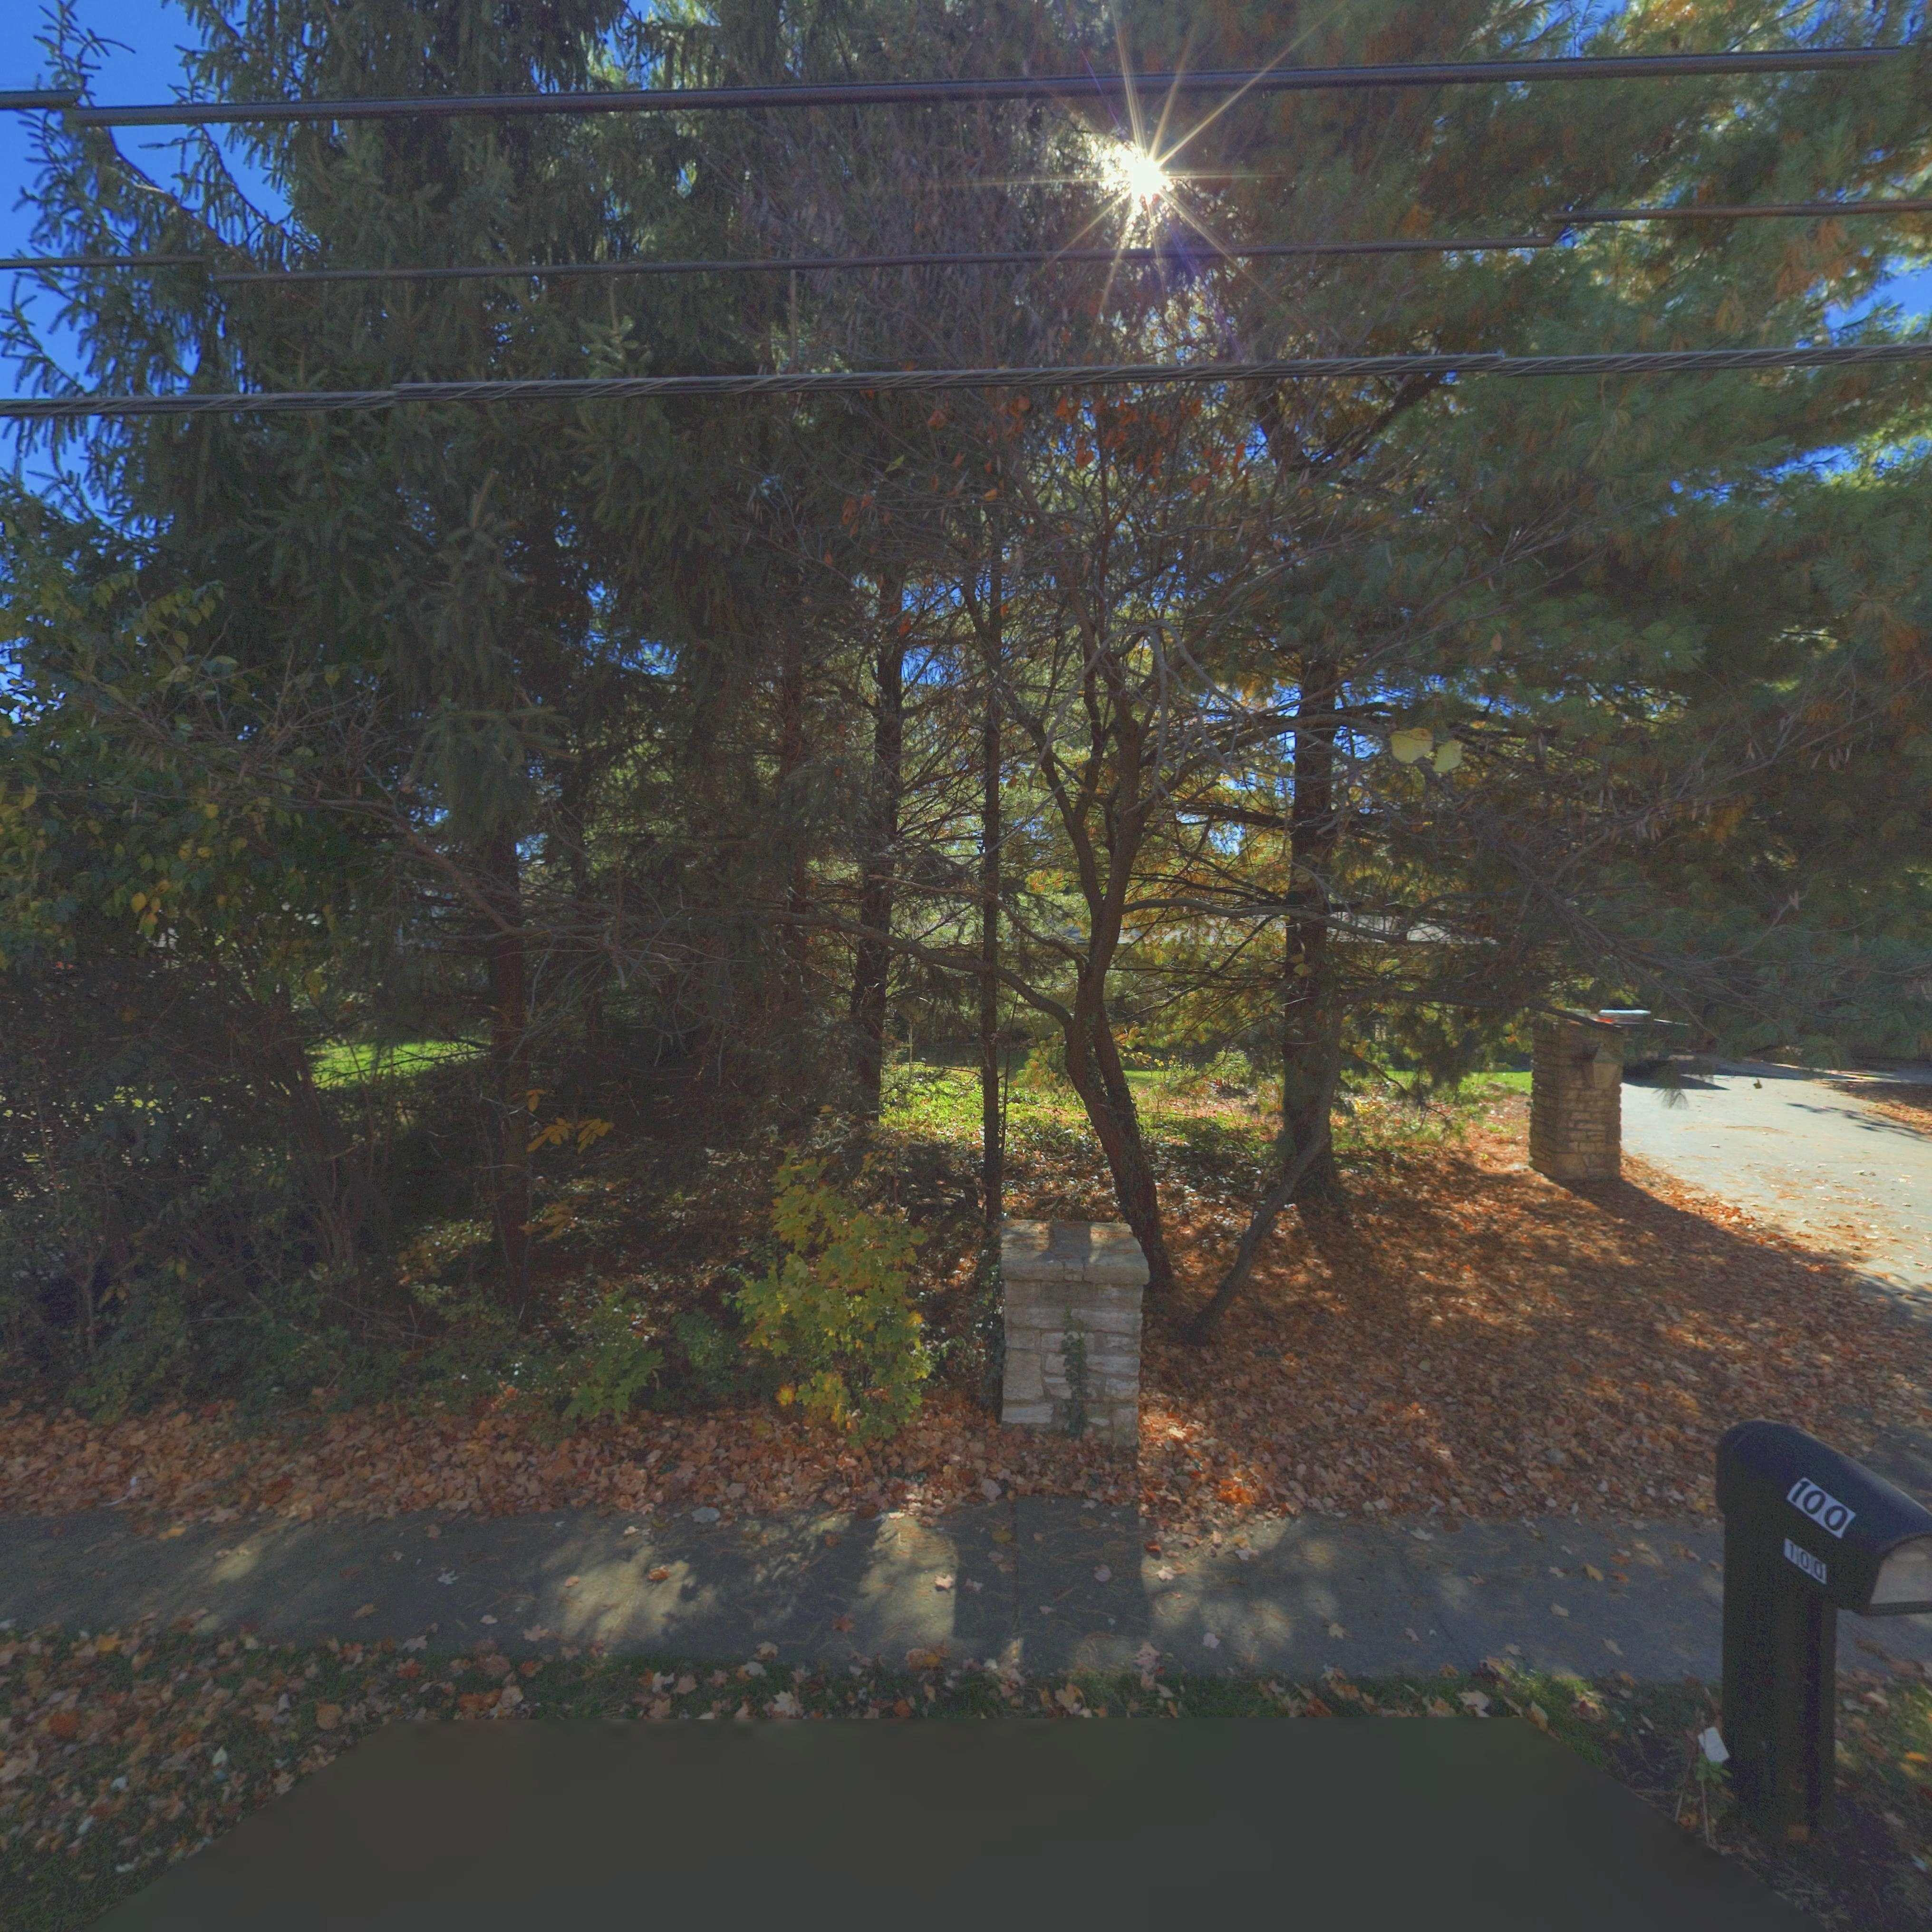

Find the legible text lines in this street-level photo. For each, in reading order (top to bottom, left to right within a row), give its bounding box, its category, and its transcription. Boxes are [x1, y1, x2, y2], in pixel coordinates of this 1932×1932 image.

[1788, 1477, 1850, 1533] StreetNumber: 100
[1788, 1542, 1825, 1581] StreetNumber: 100